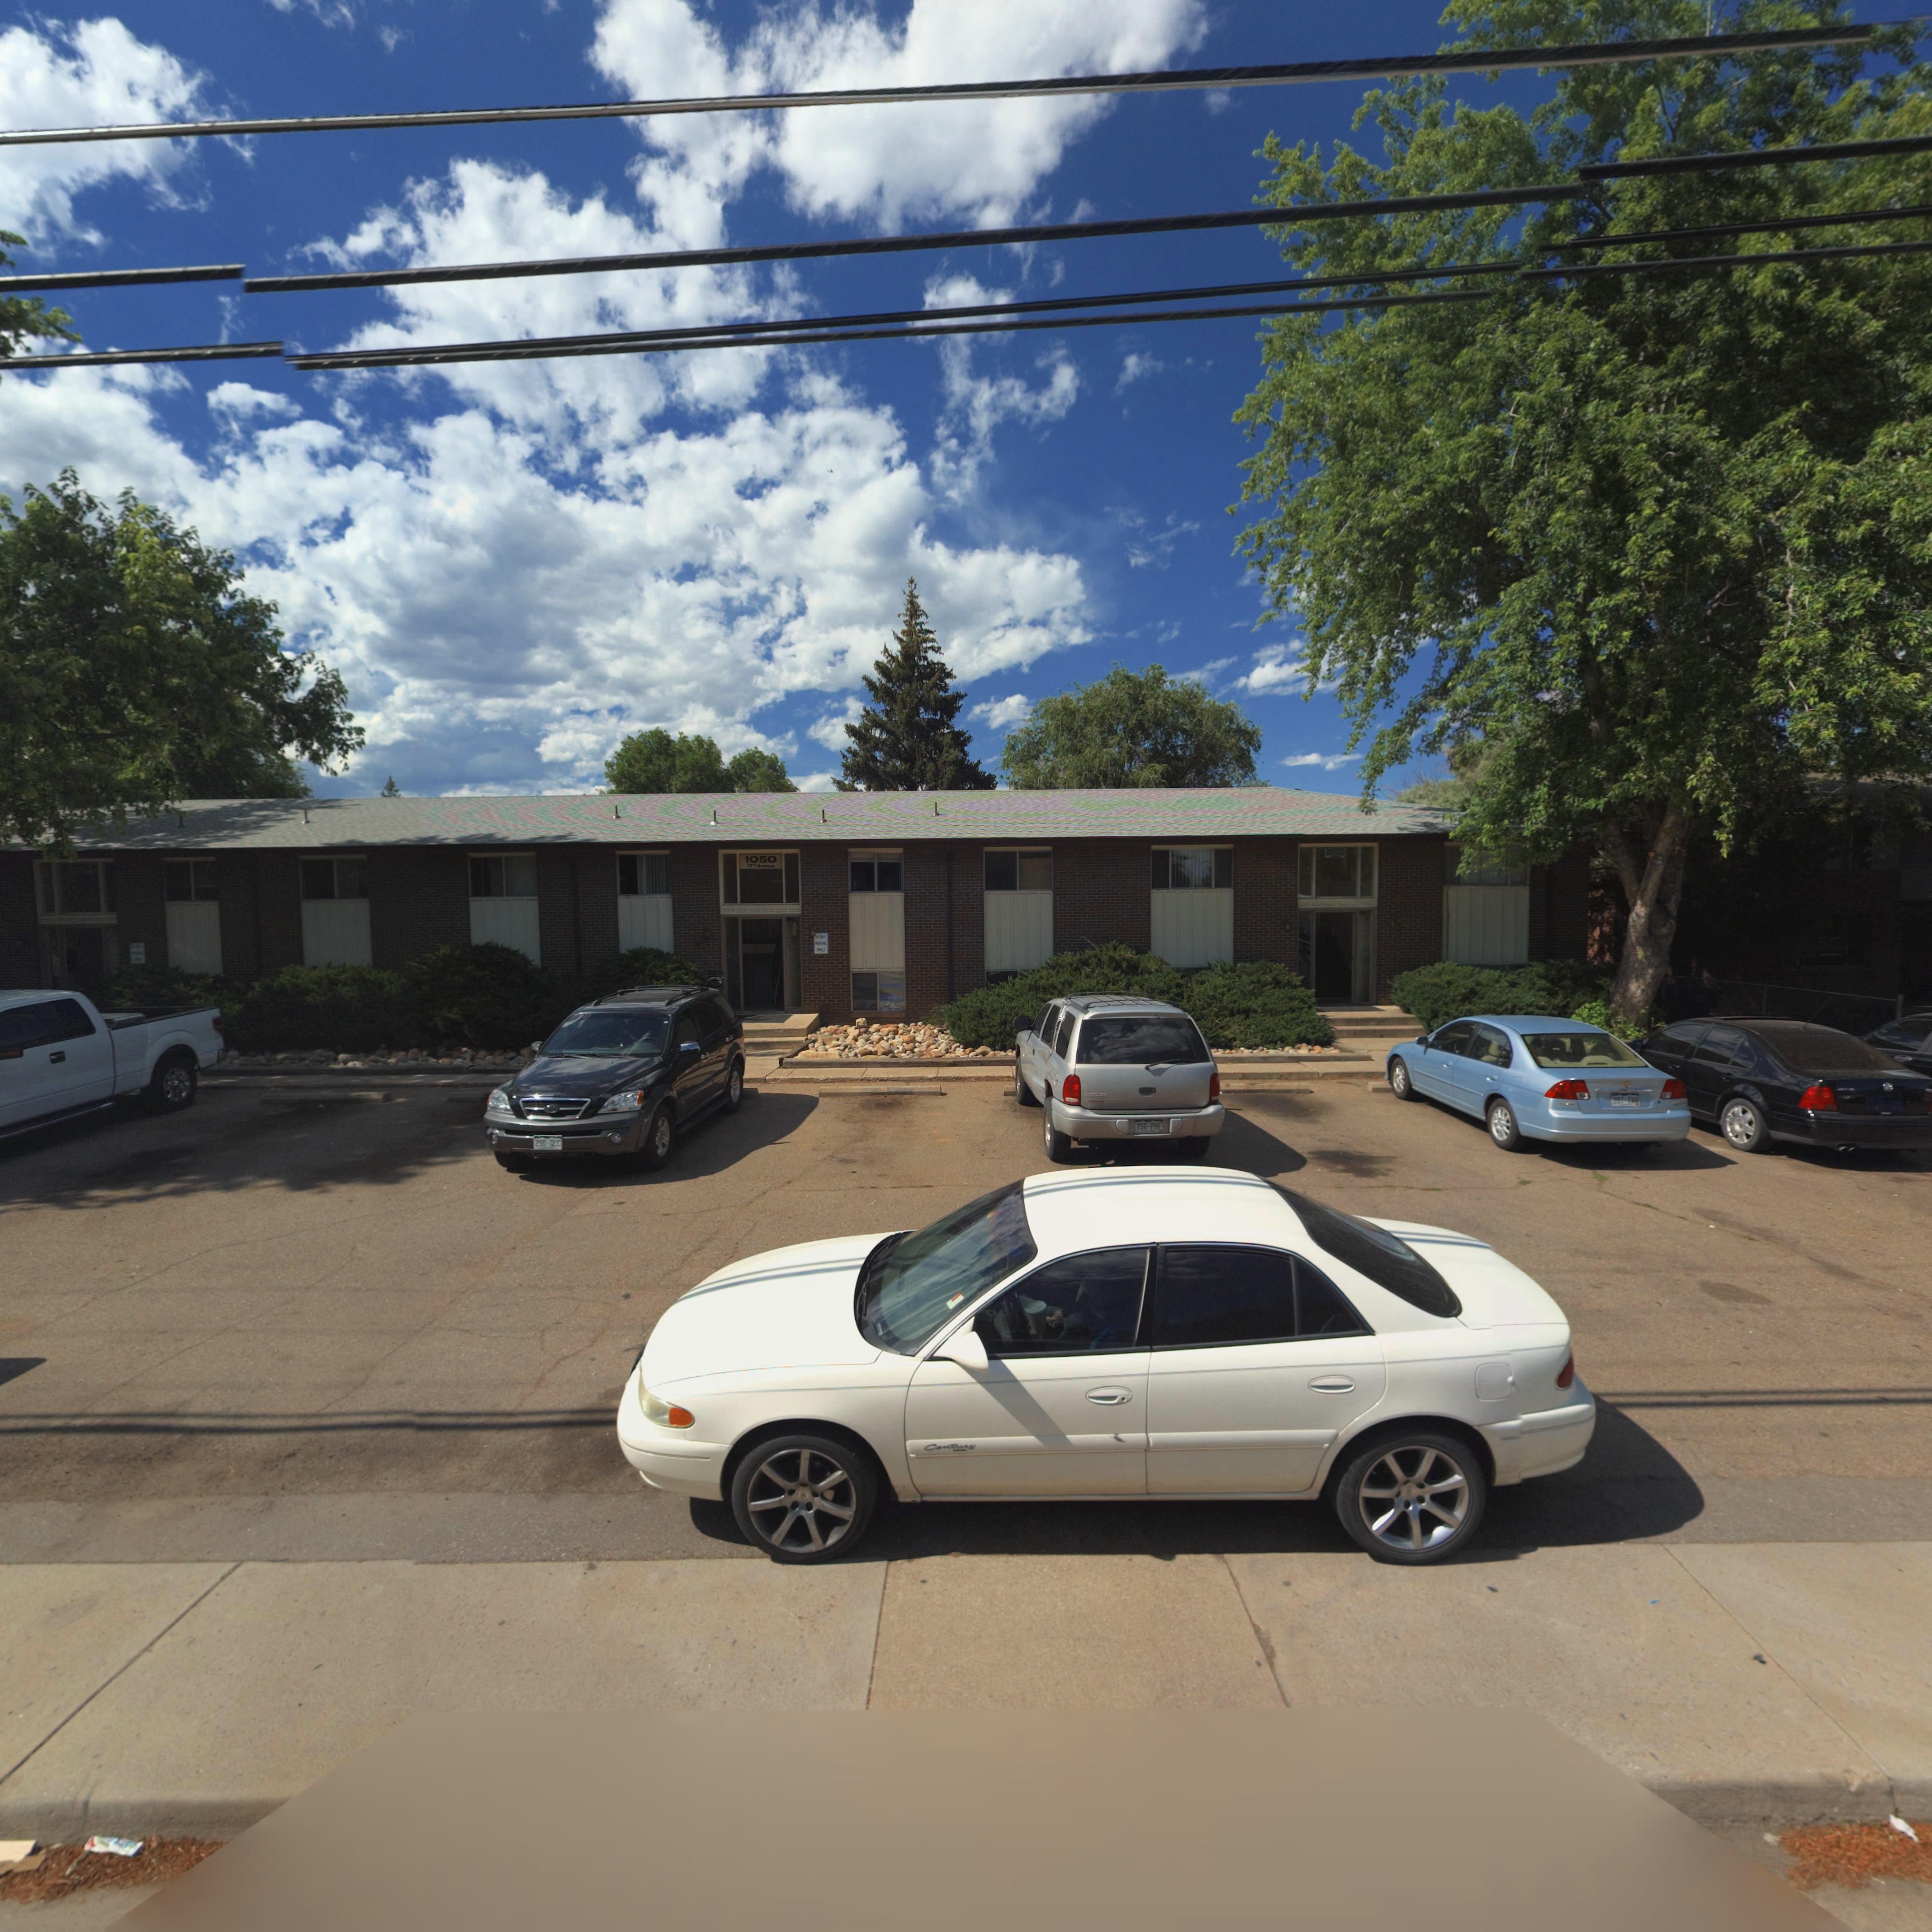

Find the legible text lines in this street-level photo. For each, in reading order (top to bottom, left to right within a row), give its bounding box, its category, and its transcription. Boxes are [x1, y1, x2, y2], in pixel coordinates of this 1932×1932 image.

[744, 855, 777, 863] StreetNumber: 1050
[746, 863, 775, 868] StreetName: 17th Avenue